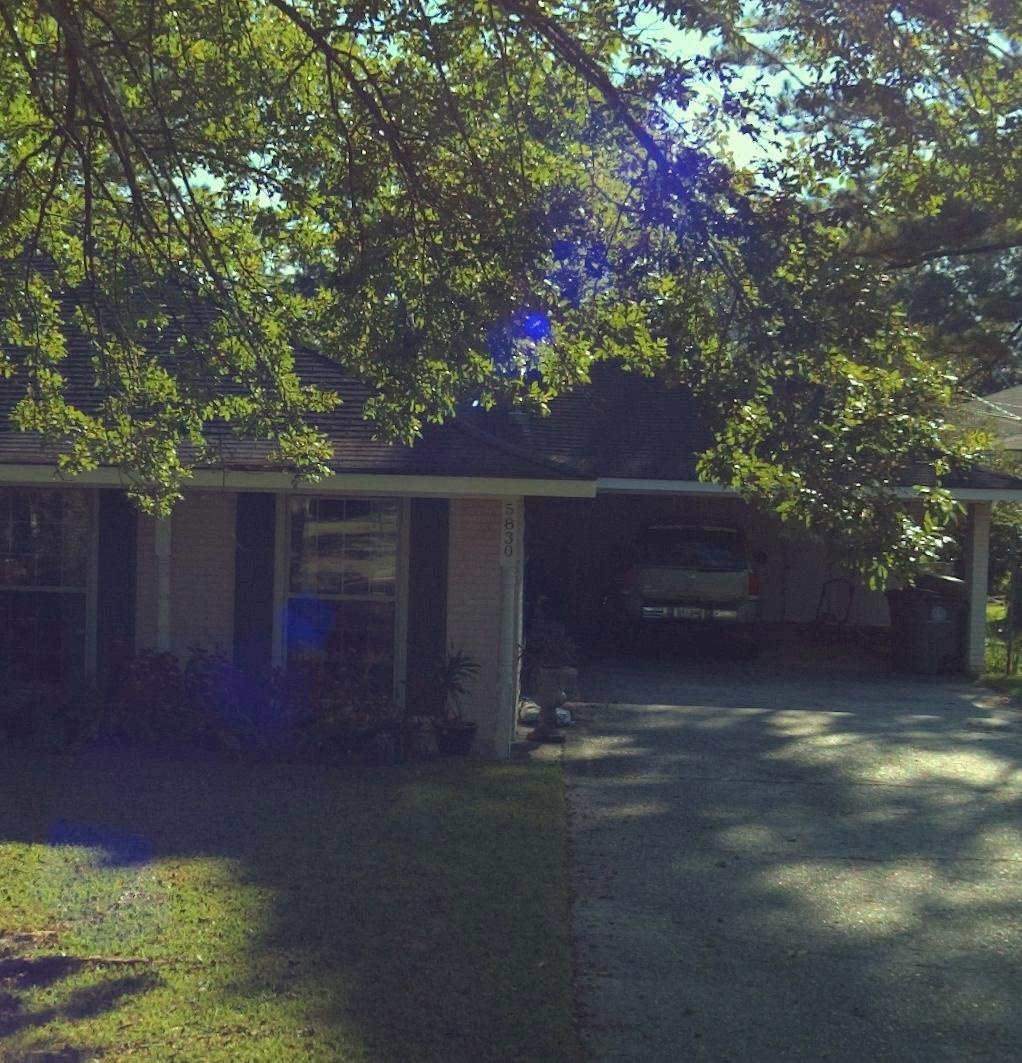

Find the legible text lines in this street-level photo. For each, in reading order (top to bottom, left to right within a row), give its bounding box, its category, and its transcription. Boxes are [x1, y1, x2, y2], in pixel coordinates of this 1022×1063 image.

[500, 500, 522, 563] StreetNumber: 5830